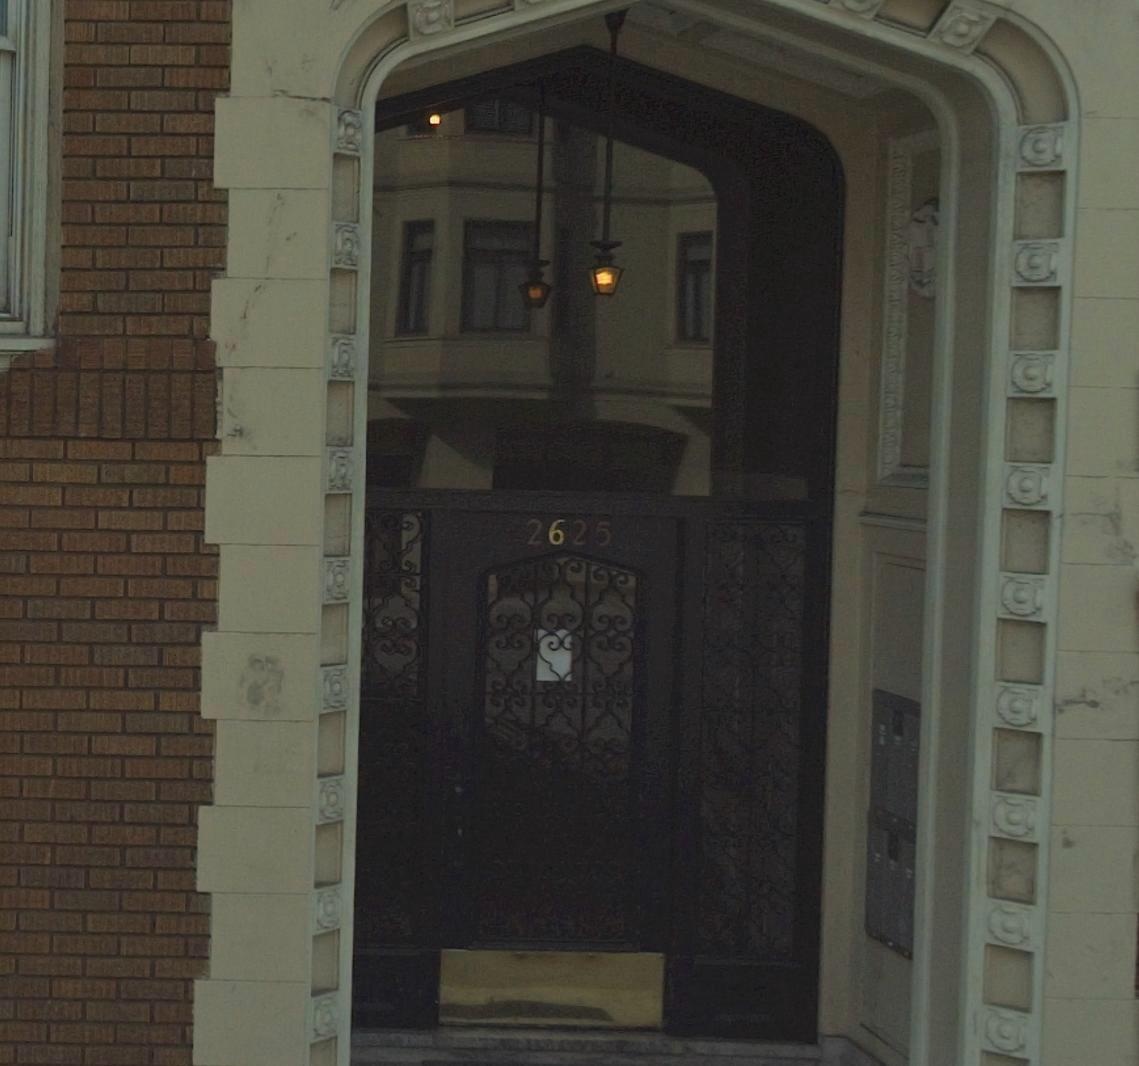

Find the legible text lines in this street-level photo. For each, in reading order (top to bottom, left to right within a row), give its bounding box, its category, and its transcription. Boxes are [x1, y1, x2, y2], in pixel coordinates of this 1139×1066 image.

[523, 515, 613, 550] StreetNumber: 2625